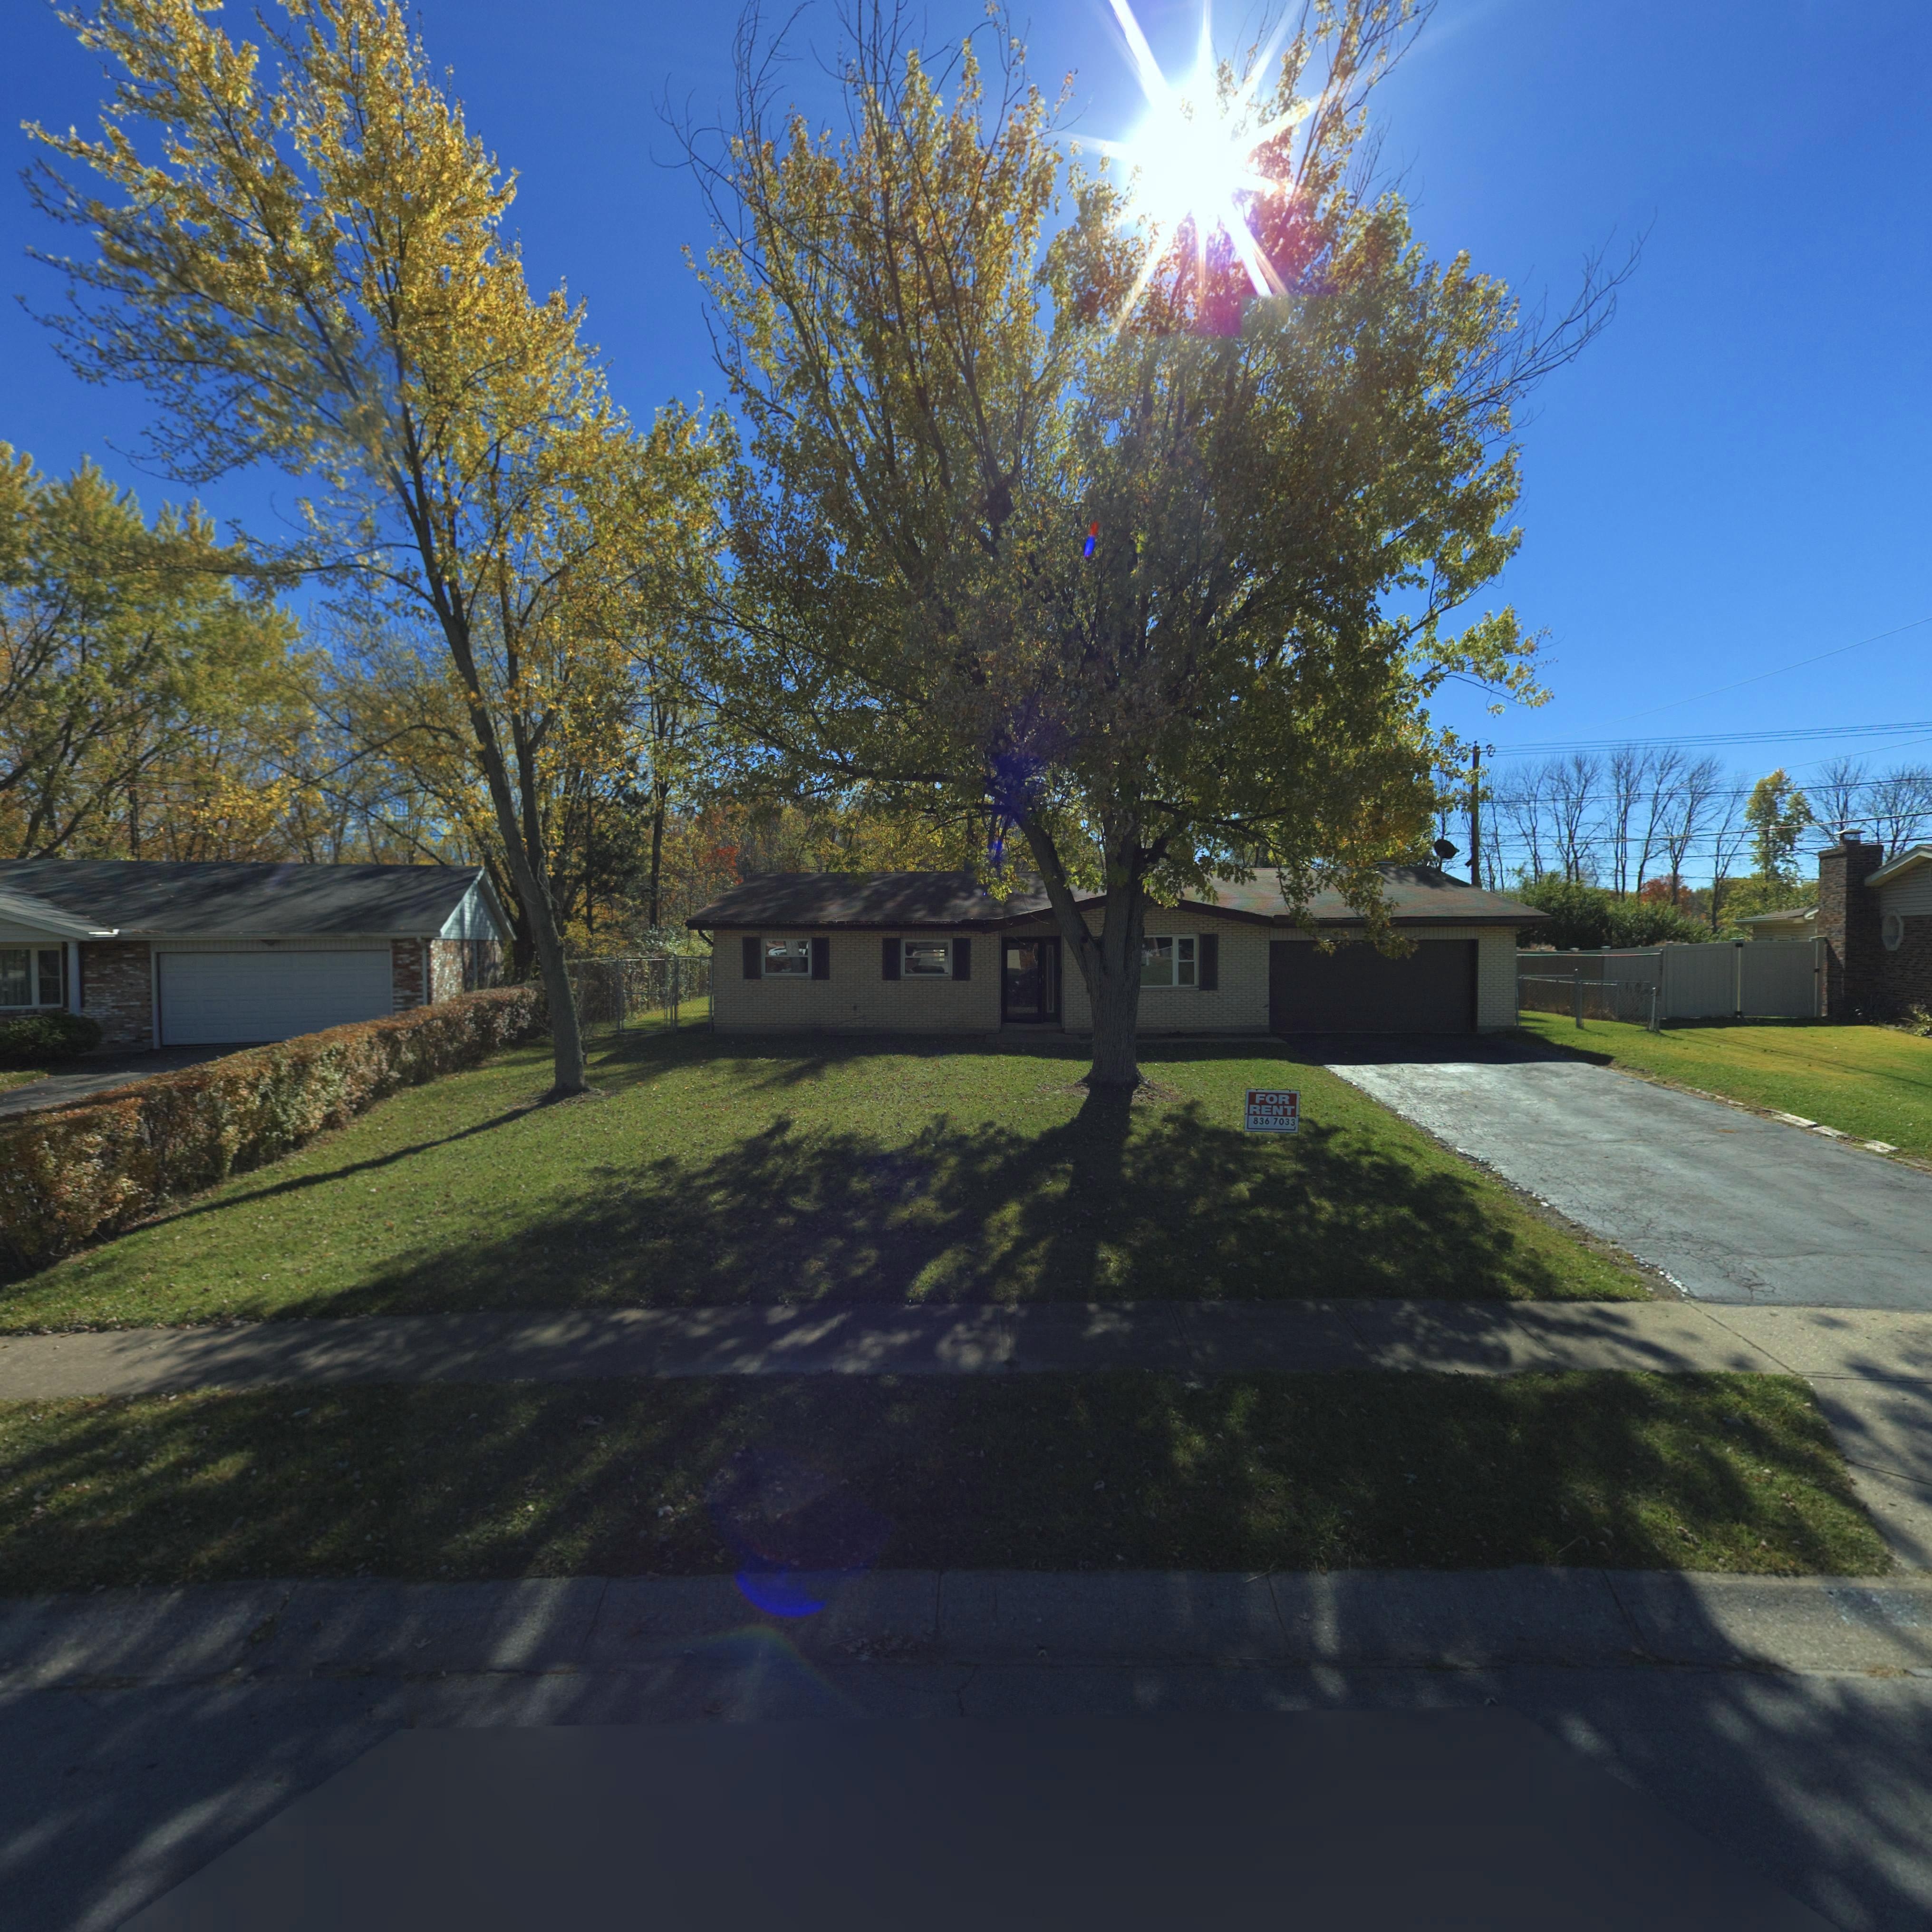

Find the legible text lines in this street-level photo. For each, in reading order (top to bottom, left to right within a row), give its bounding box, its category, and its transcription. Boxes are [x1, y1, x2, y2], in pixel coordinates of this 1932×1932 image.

[1363, 931, 1369, 937] StreetNumber: 2